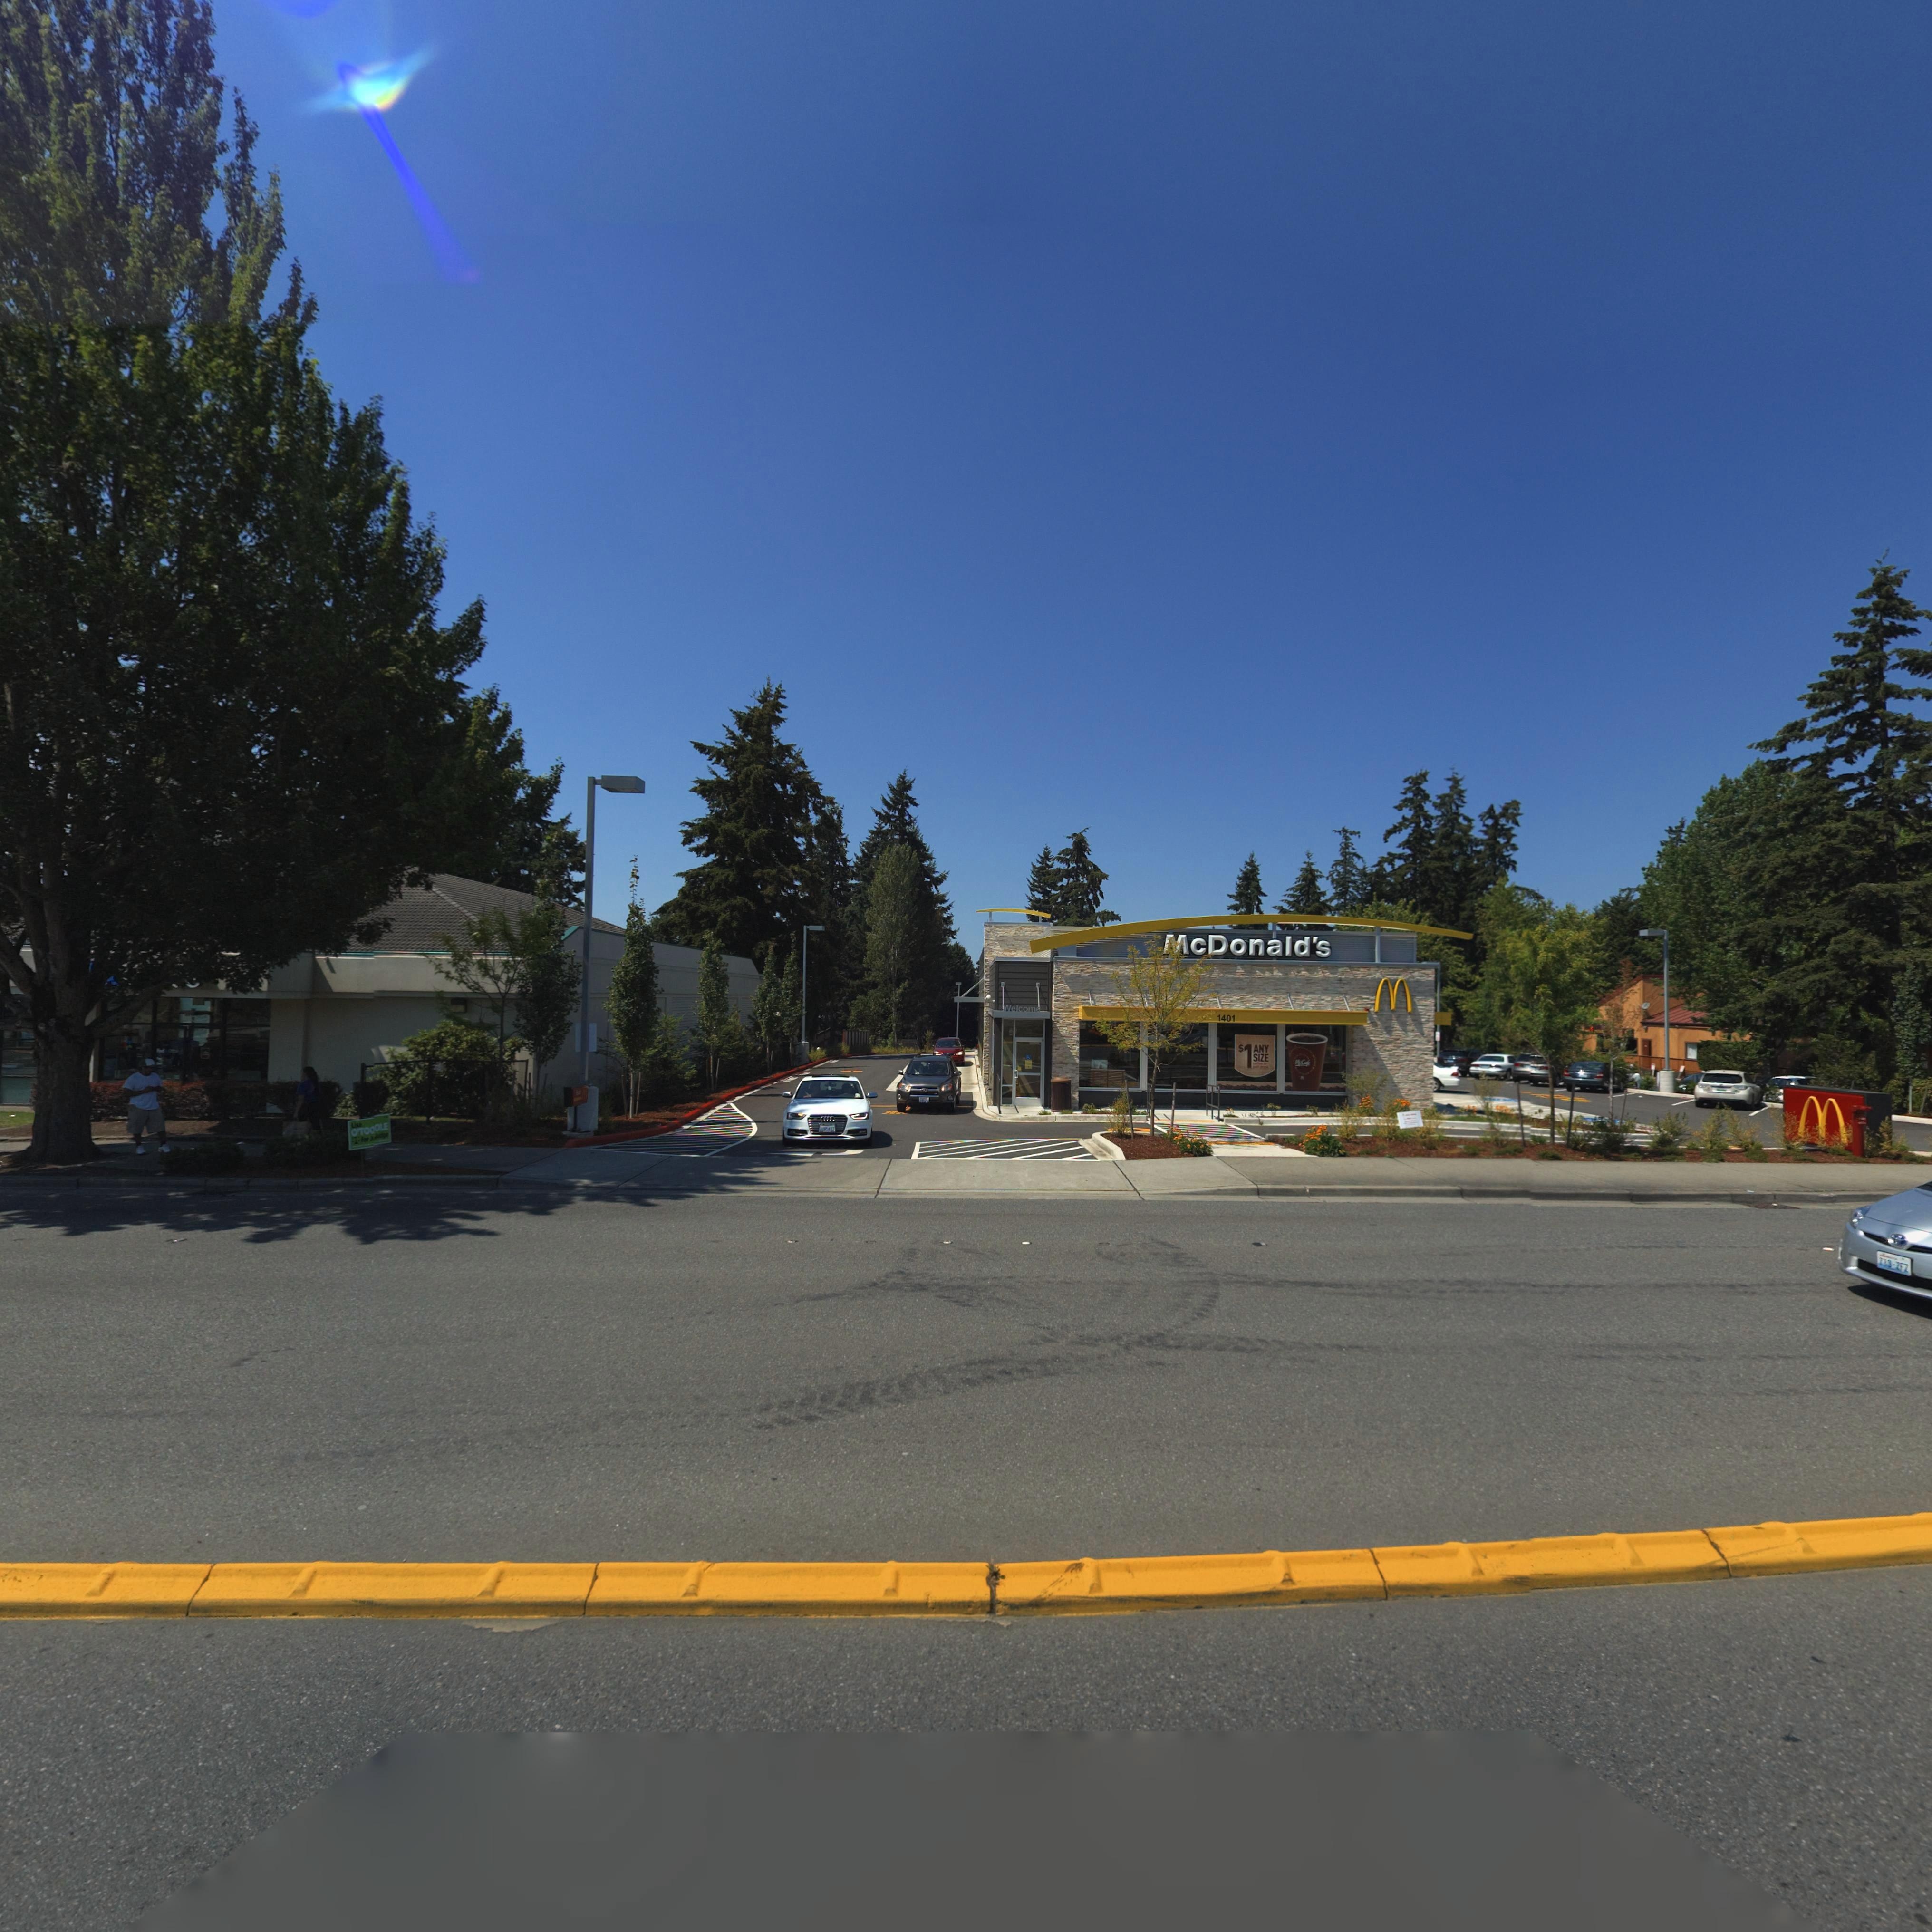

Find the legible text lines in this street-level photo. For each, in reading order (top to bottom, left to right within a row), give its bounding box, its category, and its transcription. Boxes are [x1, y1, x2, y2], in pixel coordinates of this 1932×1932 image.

[1163, 933, 1333, 958] BusinessName: *cDonald's
[1217, 1013, 1236, 1022] StreetNumber: 1401